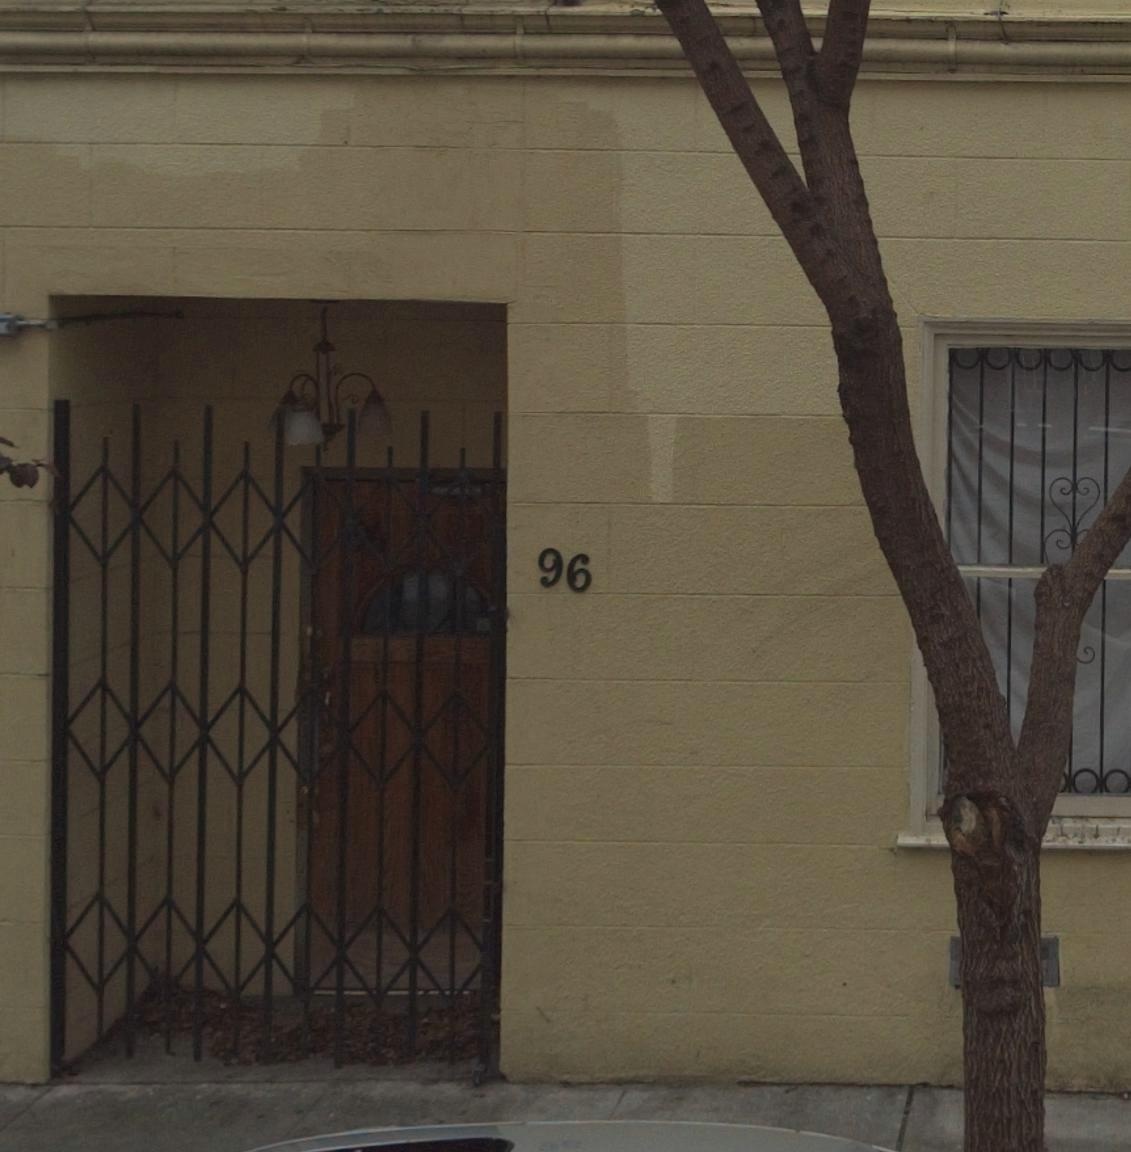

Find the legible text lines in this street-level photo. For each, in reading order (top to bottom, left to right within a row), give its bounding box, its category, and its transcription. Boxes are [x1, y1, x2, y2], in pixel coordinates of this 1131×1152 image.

[536, 545, 594, 596] StreetNumber: 96